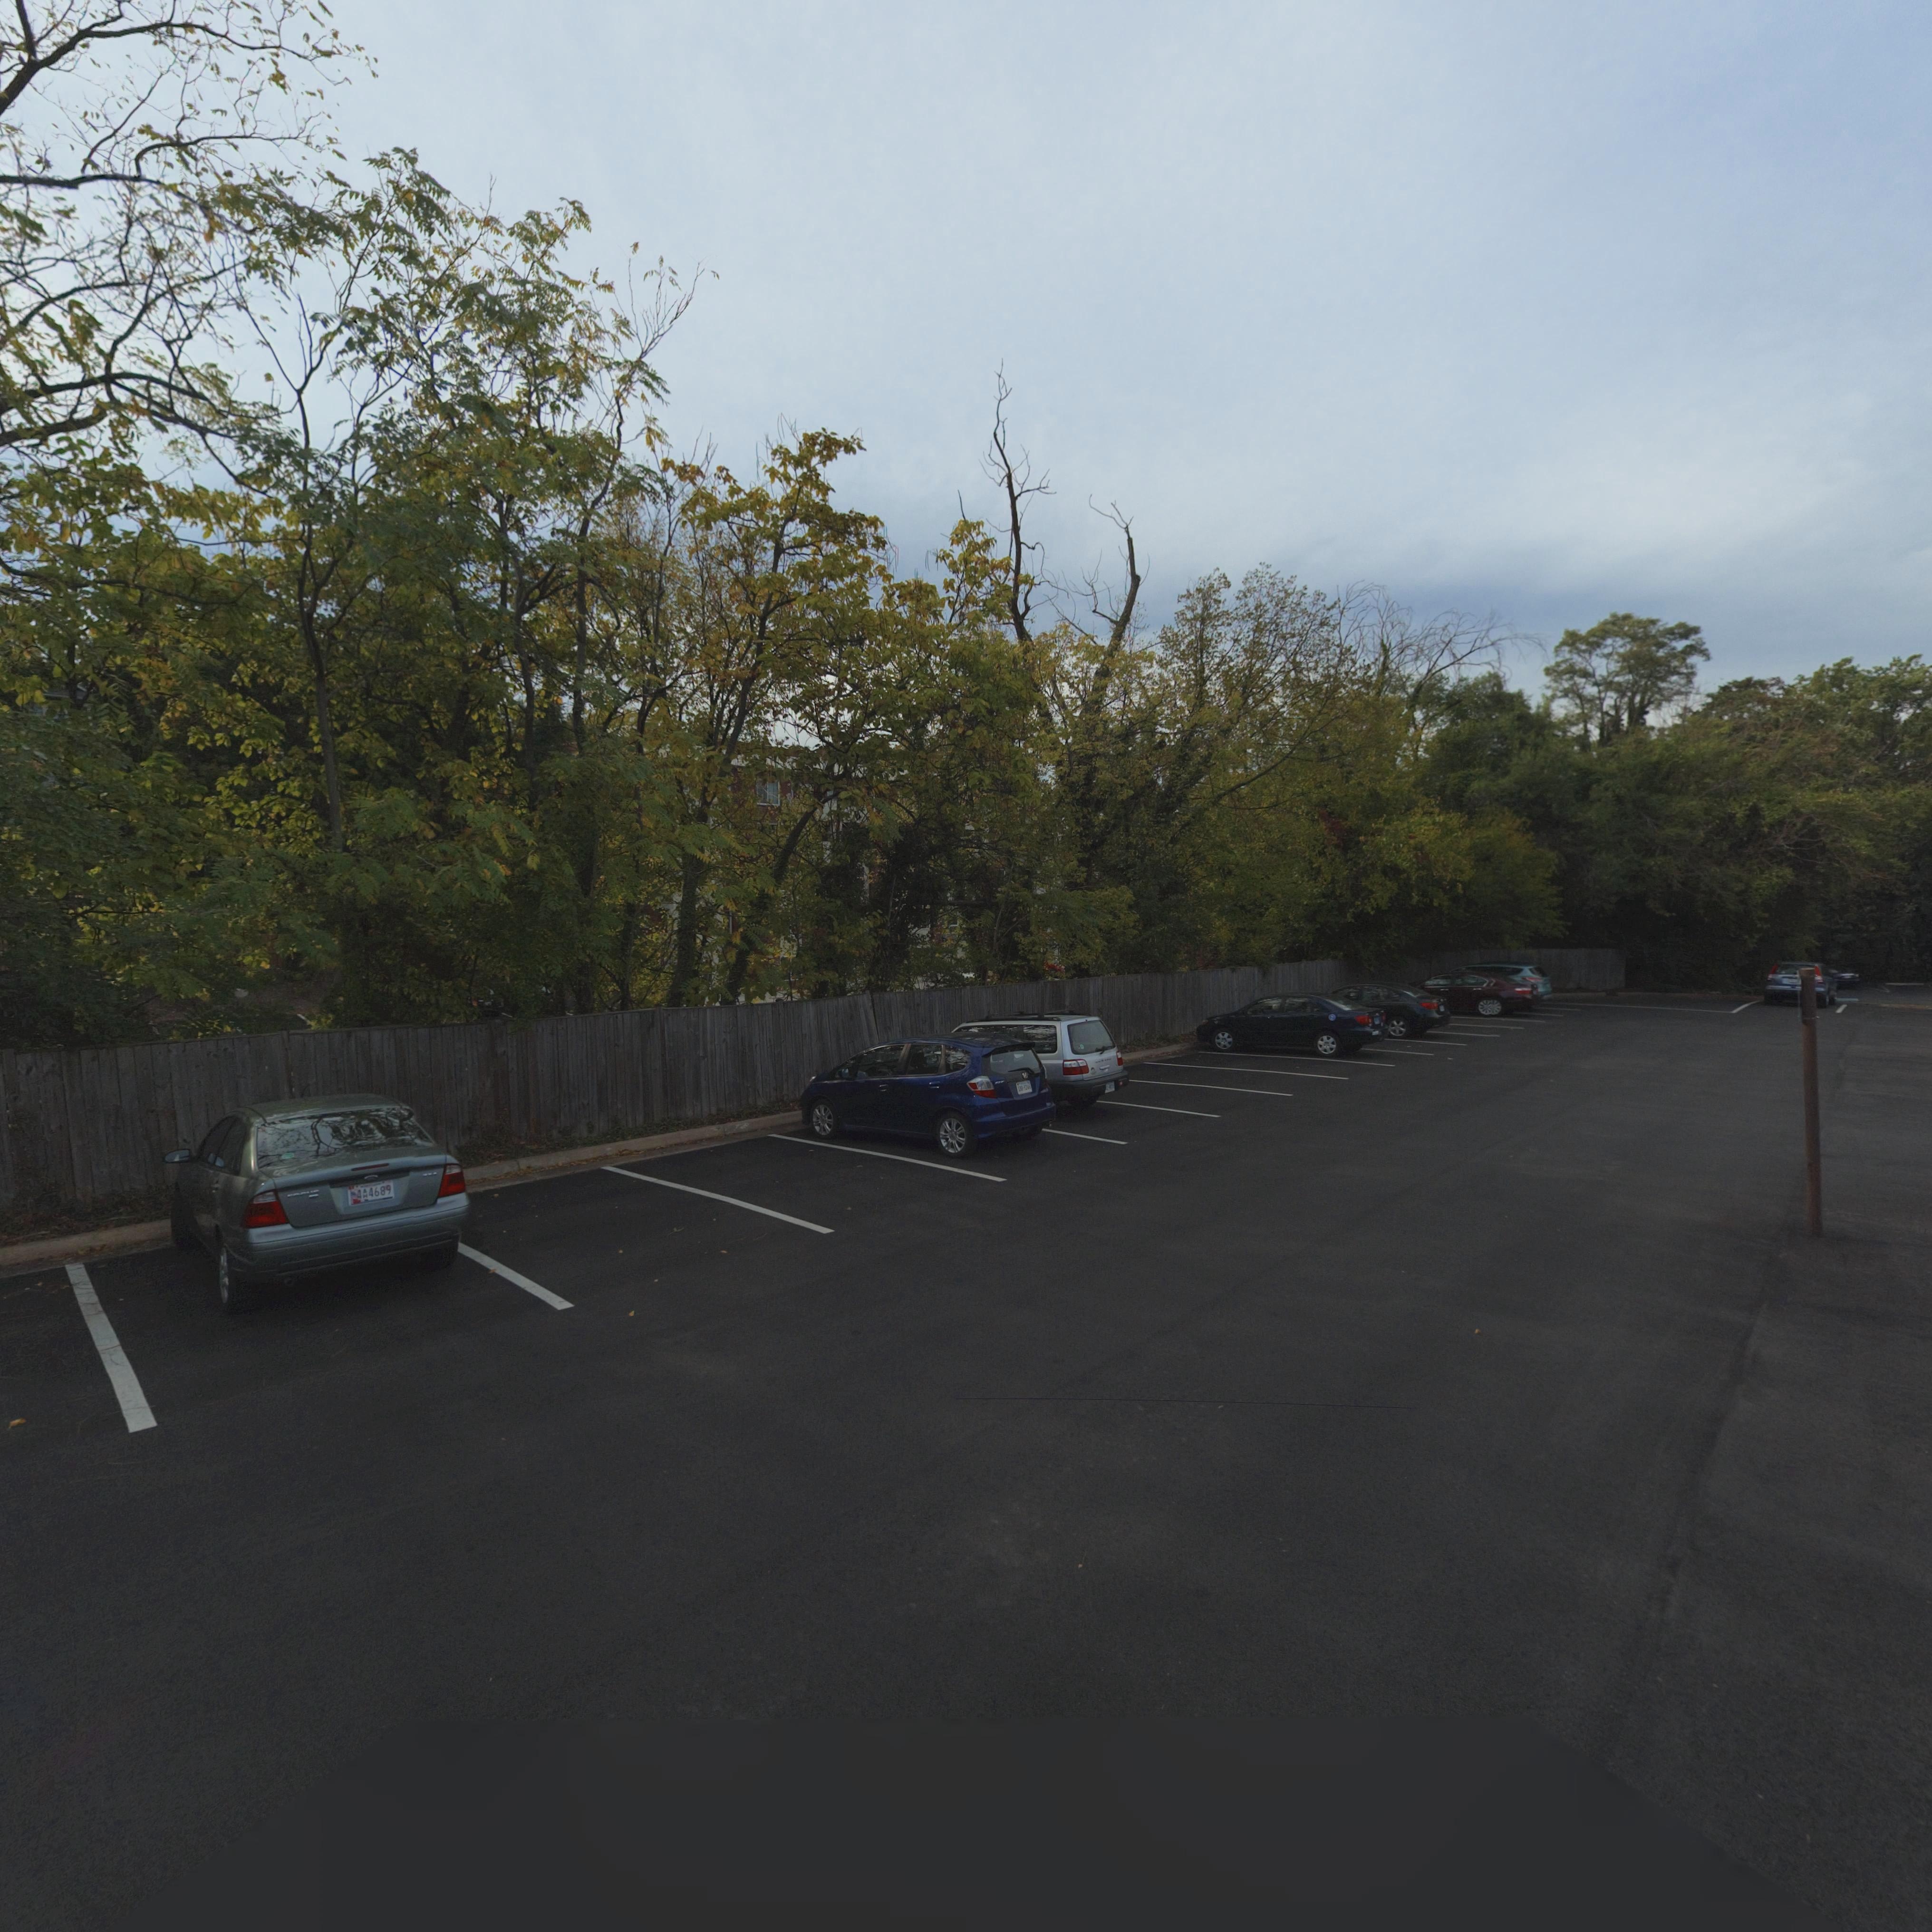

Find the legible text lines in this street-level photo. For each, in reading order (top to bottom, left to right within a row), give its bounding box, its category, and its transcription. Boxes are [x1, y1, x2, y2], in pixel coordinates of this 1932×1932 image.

[993, 1080, 1006, 1085] None: FIT
[356, 1188, 363, 1200] None: 4
[362, 1188, 369, 1199] None: AH
[367, 1183, 393, 1198] None: 4689